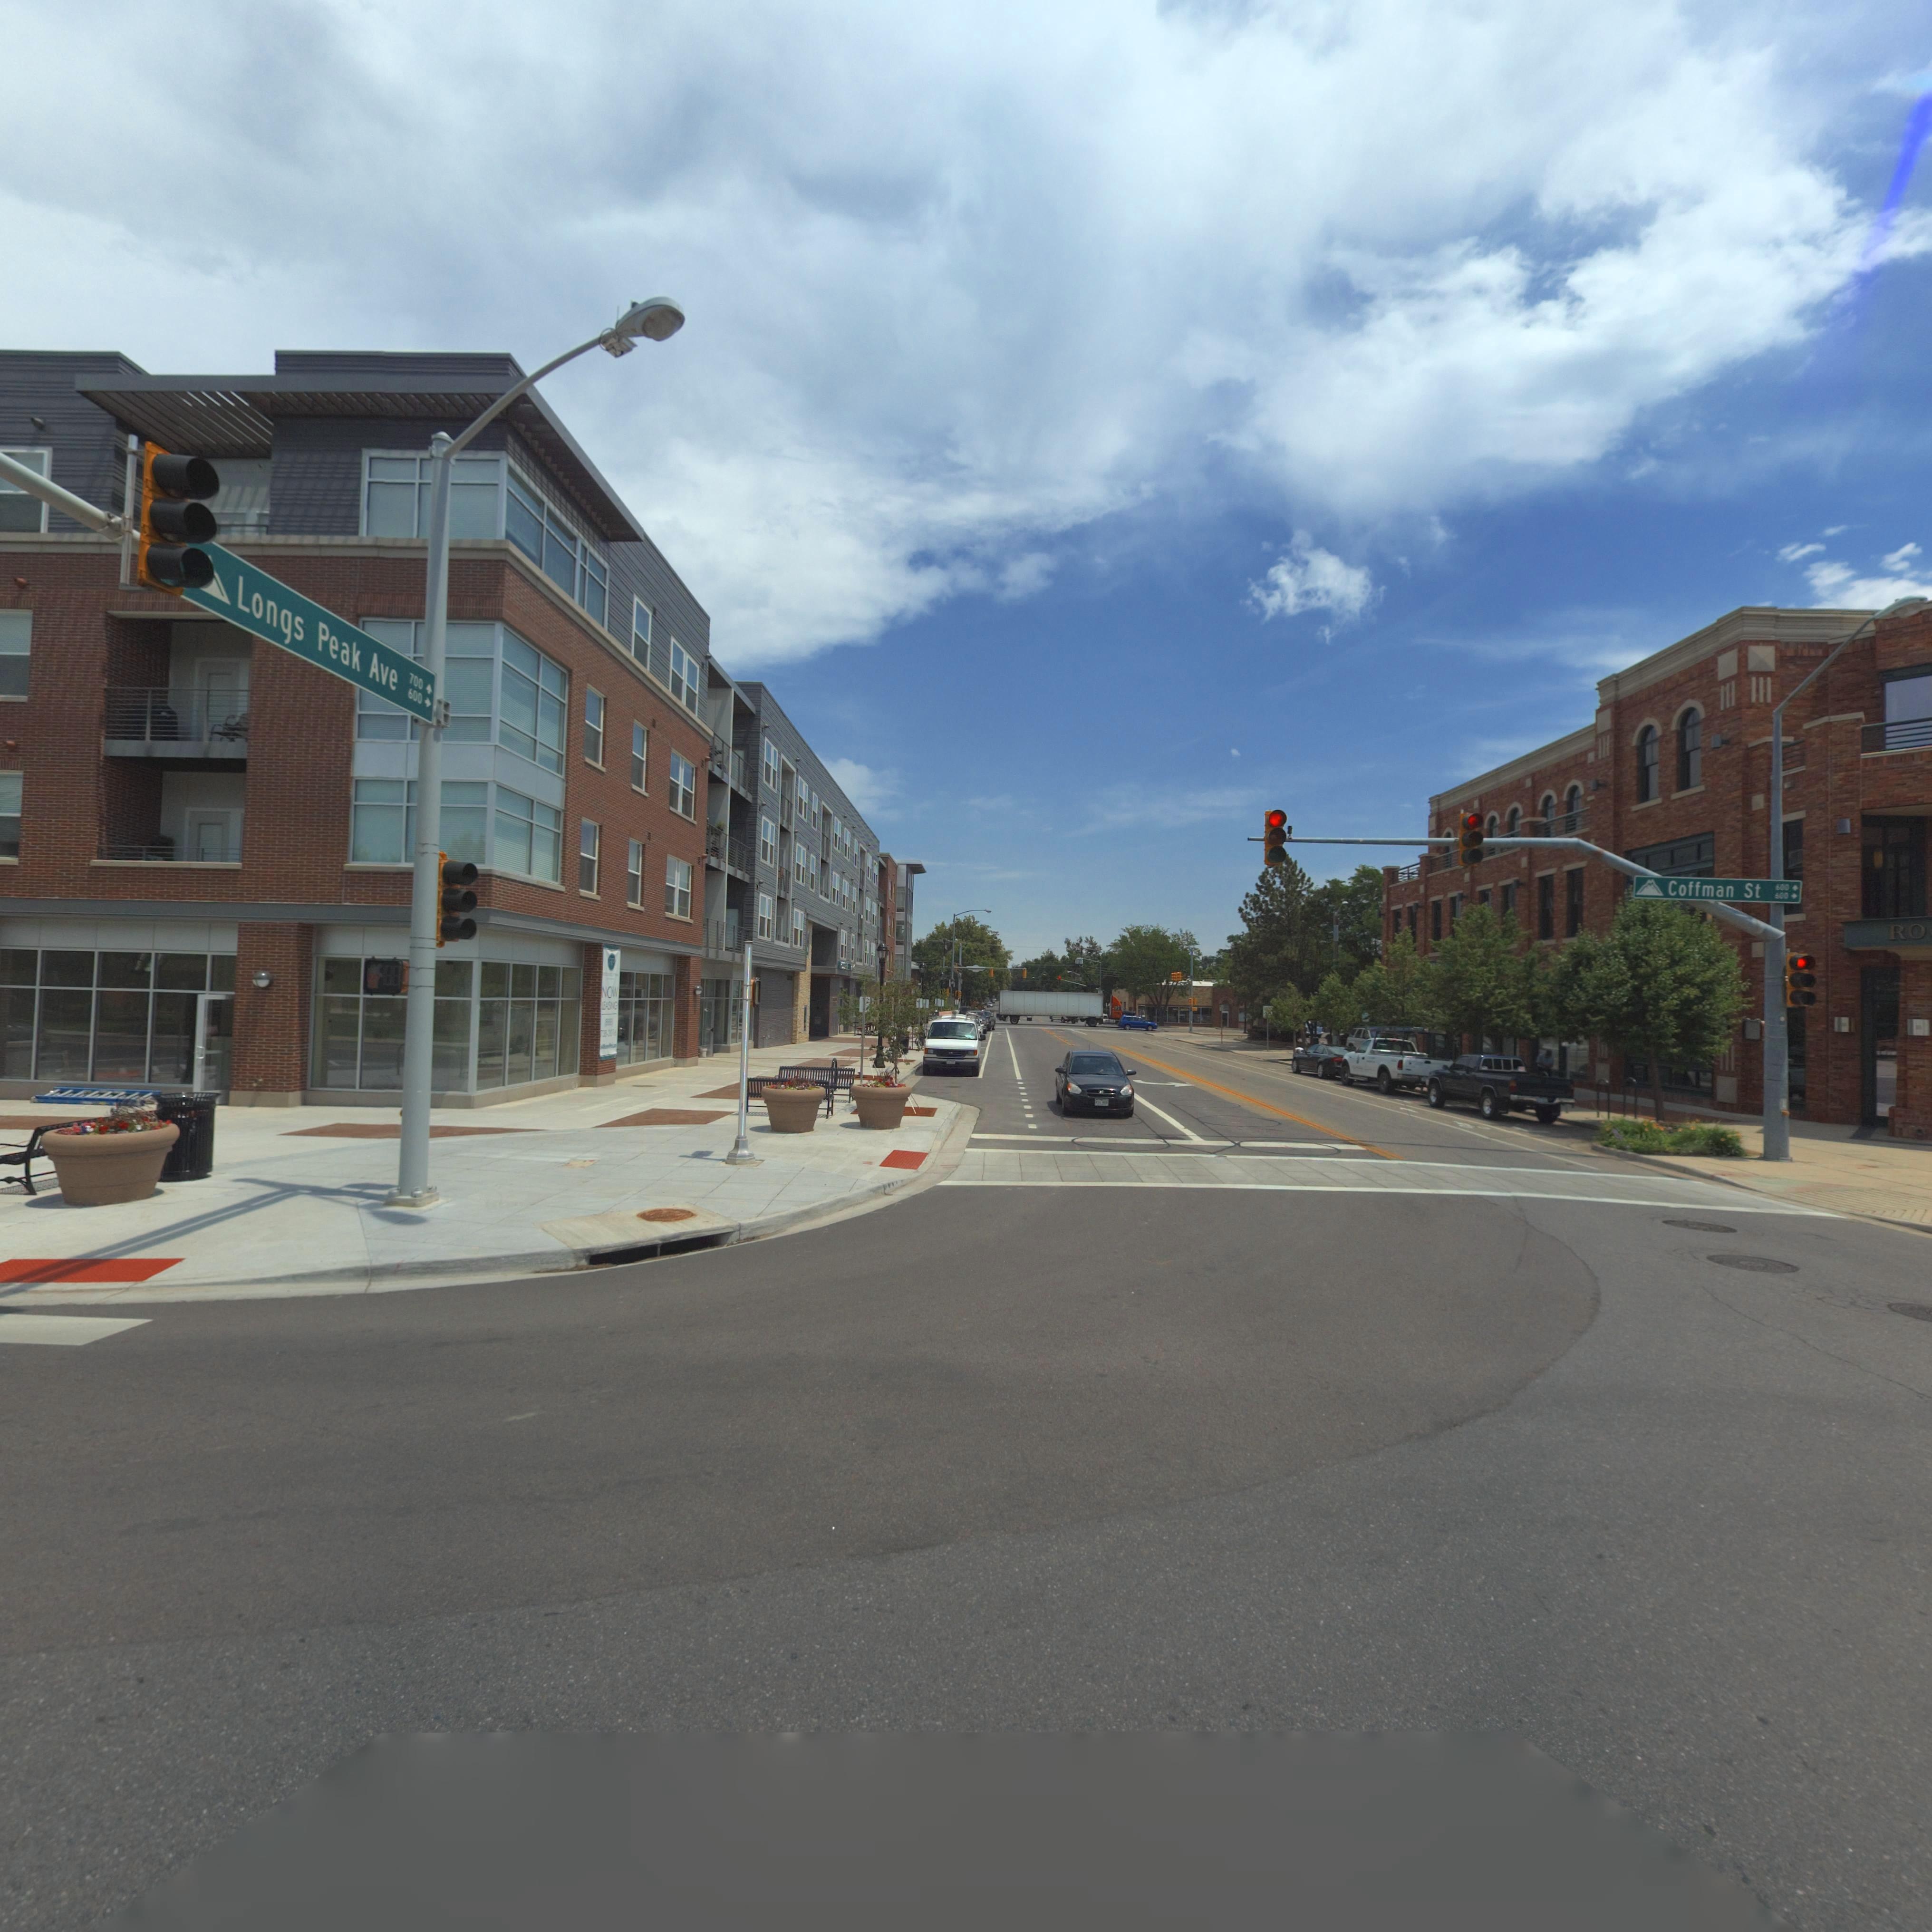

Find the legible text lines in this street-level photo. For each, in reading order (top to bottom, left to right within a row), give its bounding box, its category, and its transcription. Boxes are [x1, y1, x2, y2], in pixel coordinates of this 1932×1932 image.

[236, 571, 399, 692] StreetName: Longs Peak Ave
[408, 671, 424, 691] StreetNumberRange: 700
[406, 687, 432, 709] StreetNumberRange: 600 ->
[1667, 879, 1761, 898] StreetName: Coffman St
[1775, 883, 1789, 891] StreetNumberRange: 600
[1774, 892, 1798, 900] StreetNumberRange: 600 ->
[1887, 923, 1926, 940] BusinessName: RO
[837, 961, 855, 971] BusinessName: ****E***